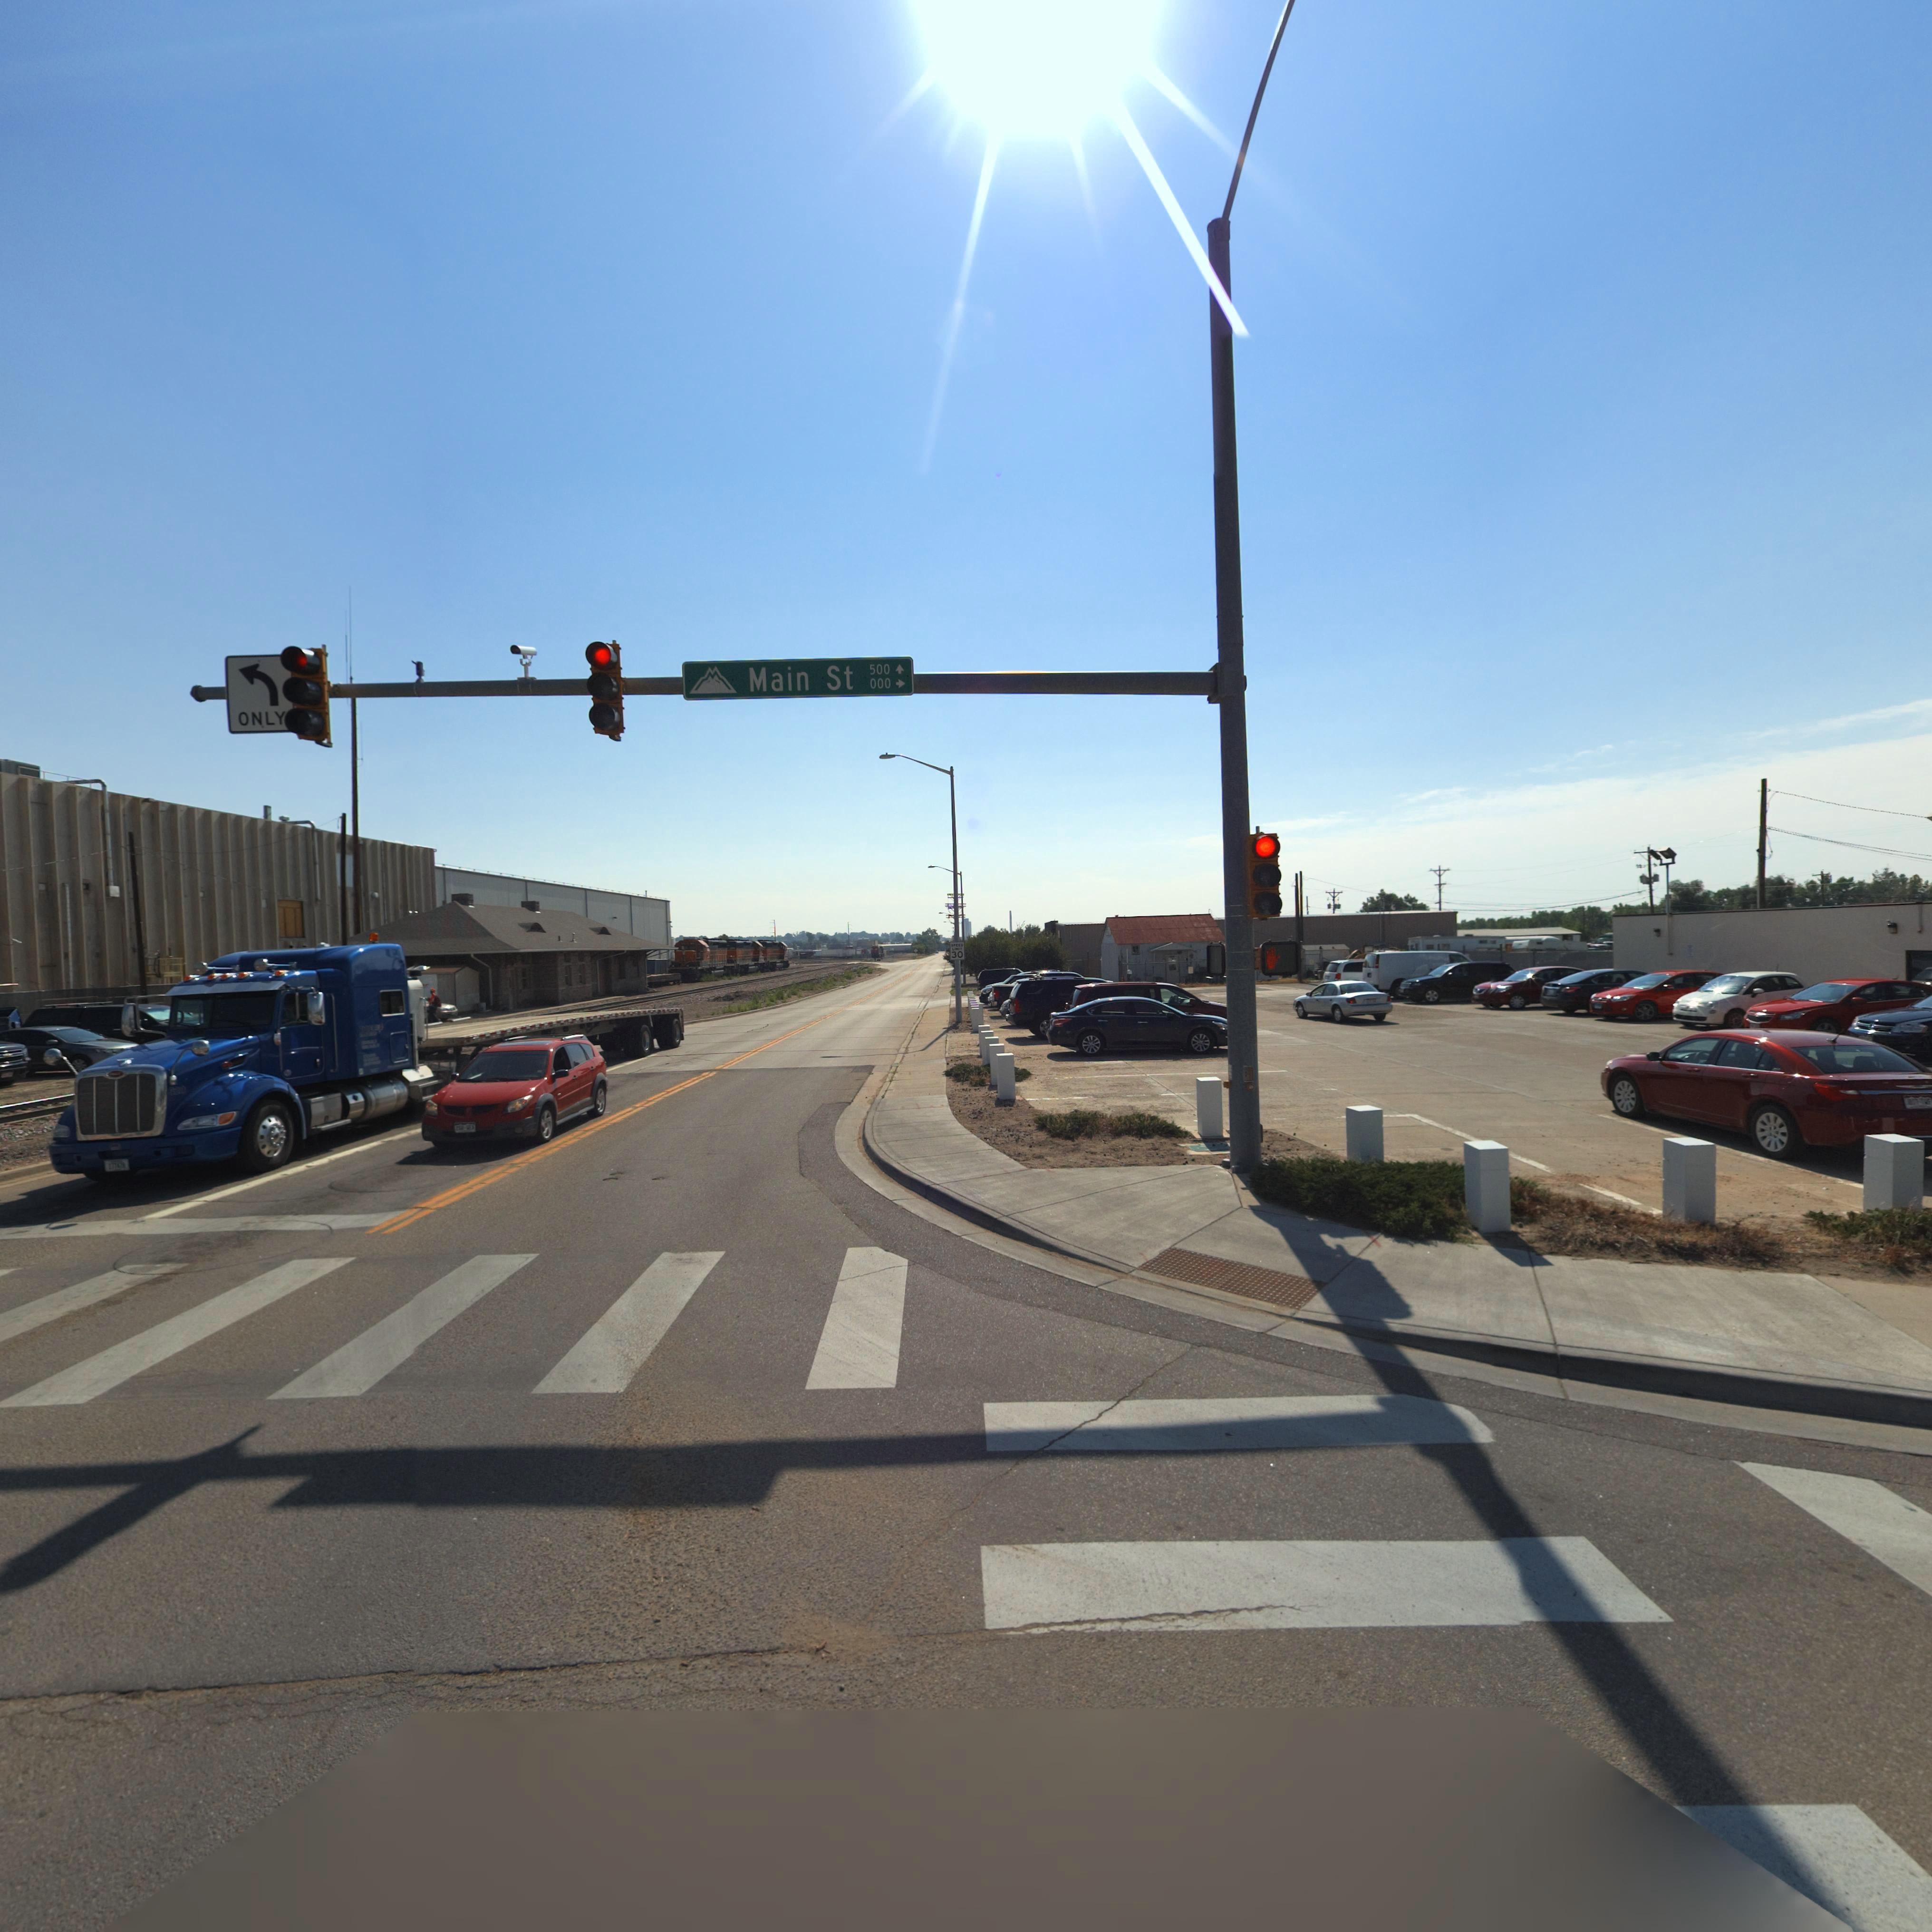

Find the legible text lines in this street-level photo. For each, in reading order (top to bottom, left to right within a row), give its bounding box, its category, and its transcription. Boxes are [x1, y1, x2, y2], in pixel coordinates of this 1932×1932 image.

[869, 663, 890, 675] StreetNumberRange: 500
[748, 665, 855, 693] StreetName: Main St
[869, 677, 905, 689] StreetNumberRange: 000 ->